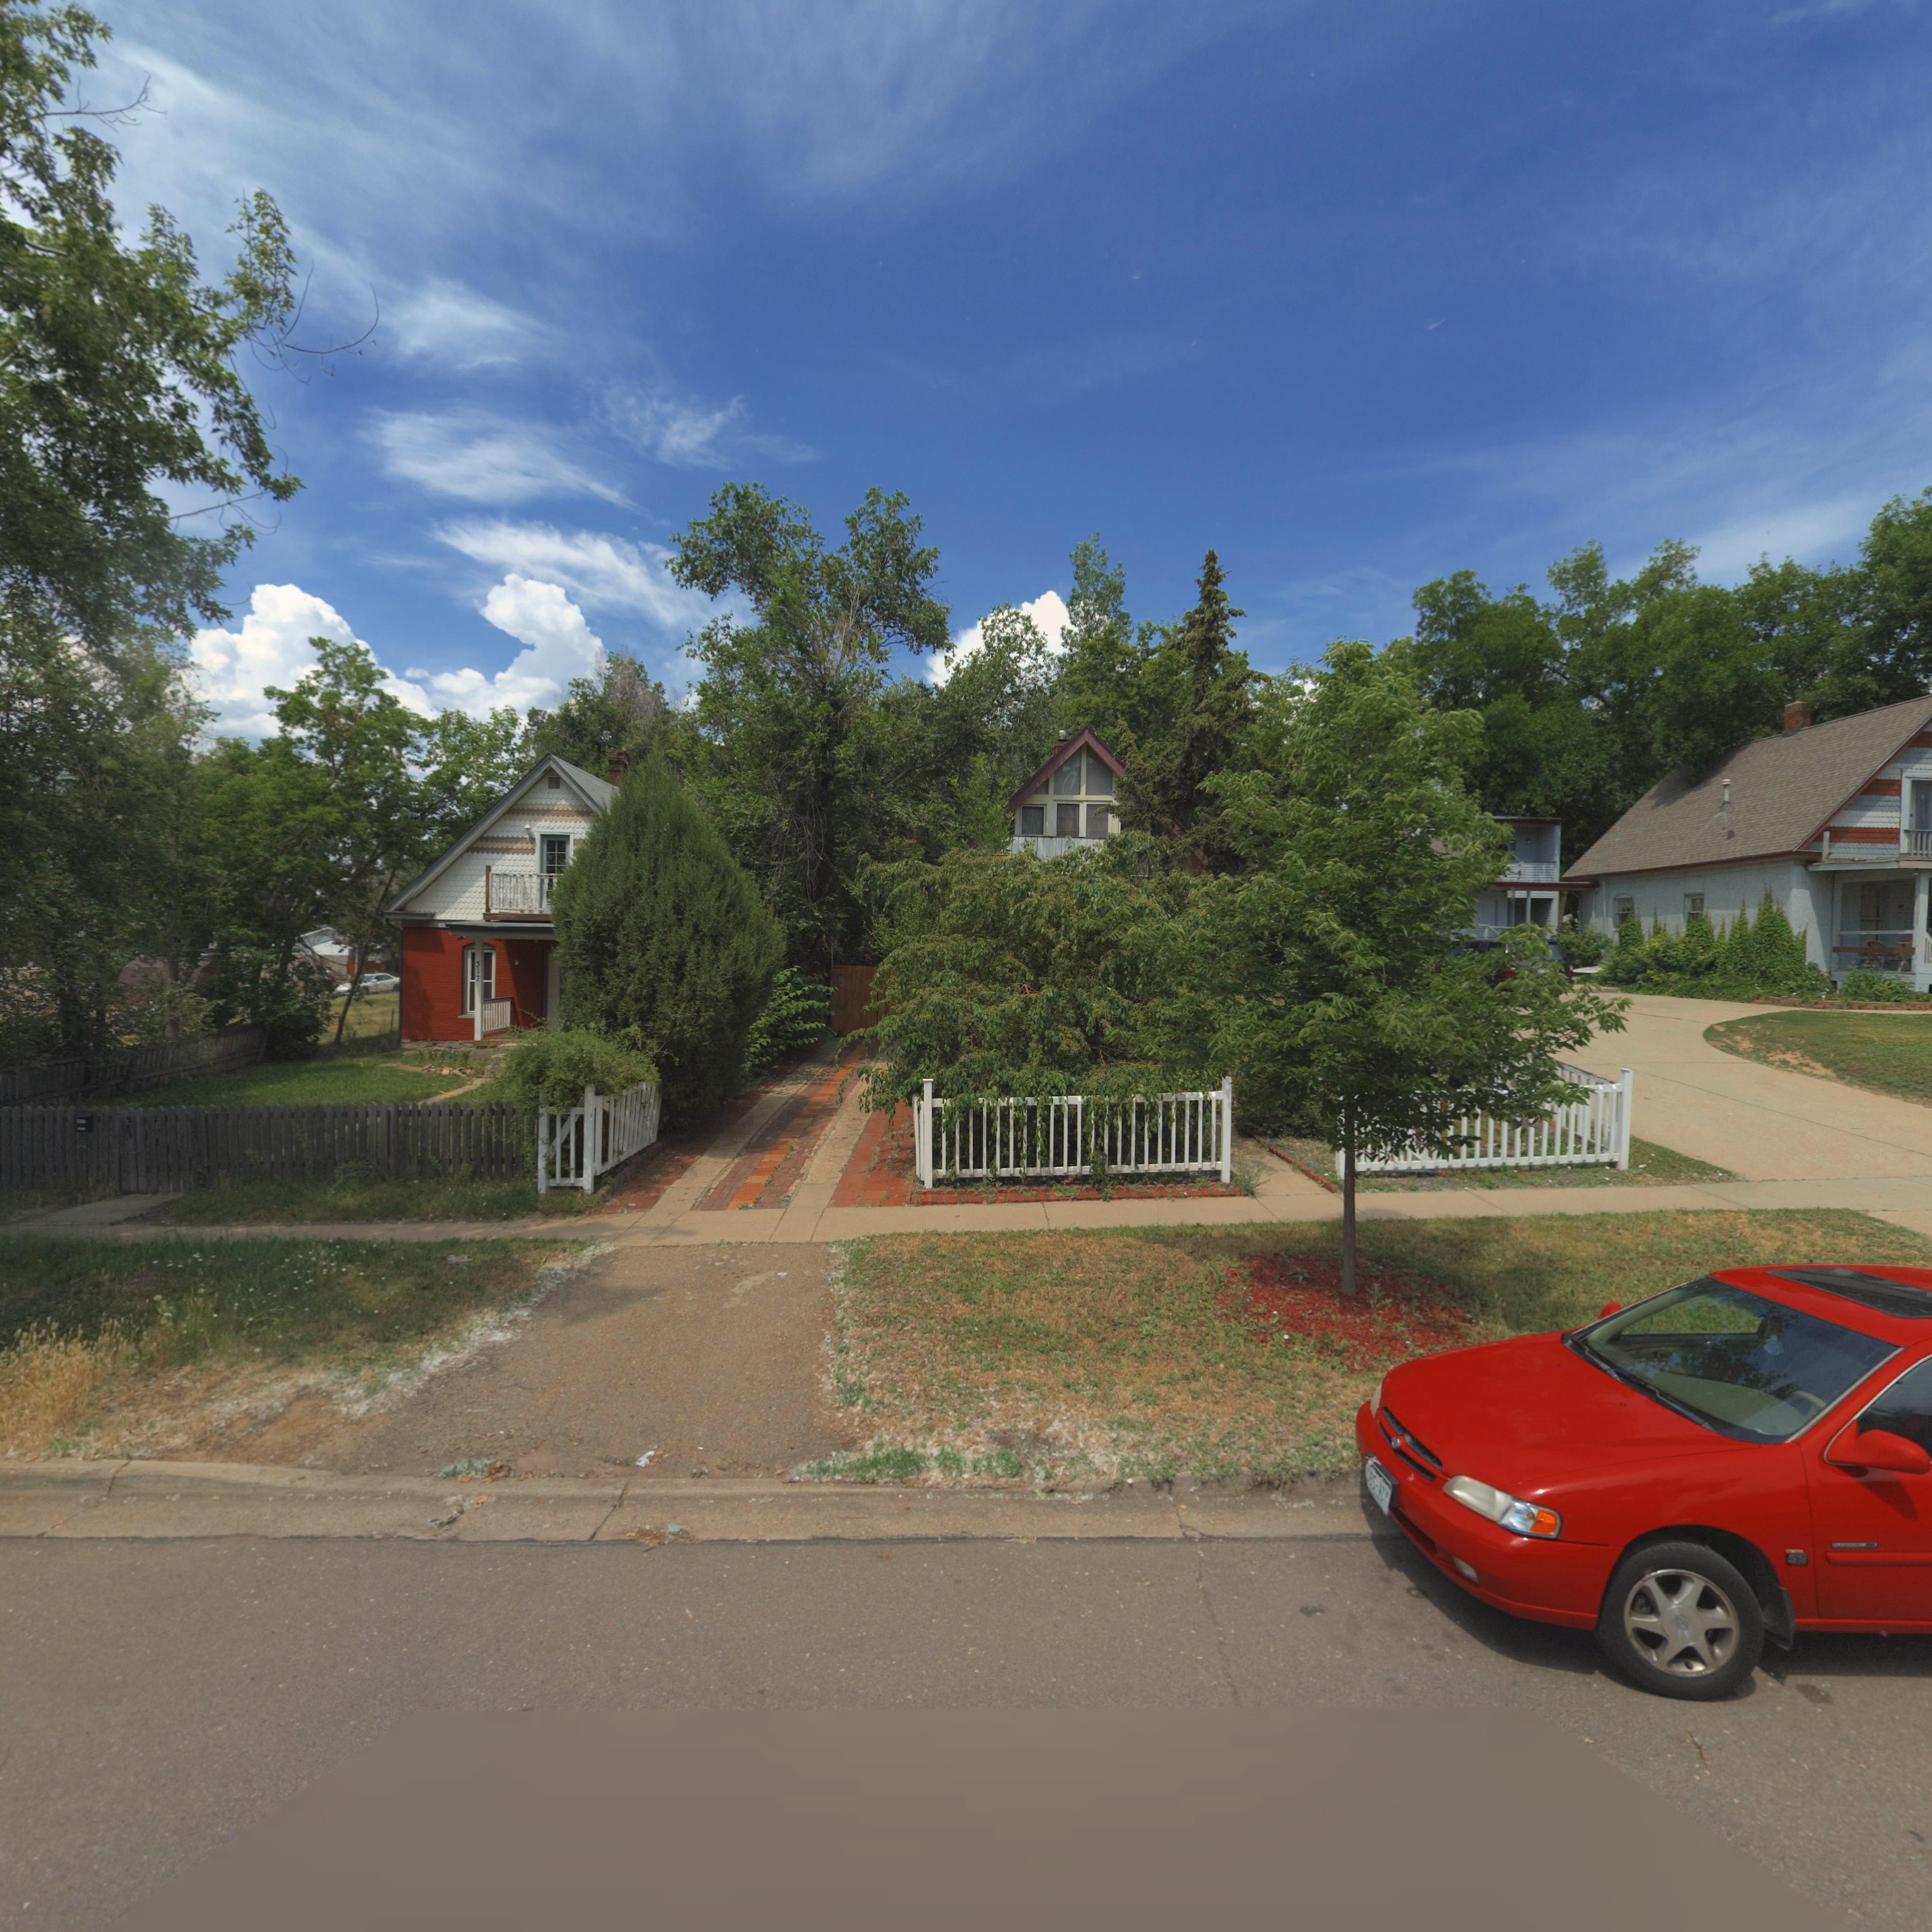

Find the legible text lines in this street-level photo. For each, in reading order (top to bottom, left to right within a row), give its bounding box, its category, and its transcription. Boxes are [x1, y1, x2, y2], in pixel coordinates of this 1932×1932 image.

[475, 960, 481, 983] StreetNumber: 317